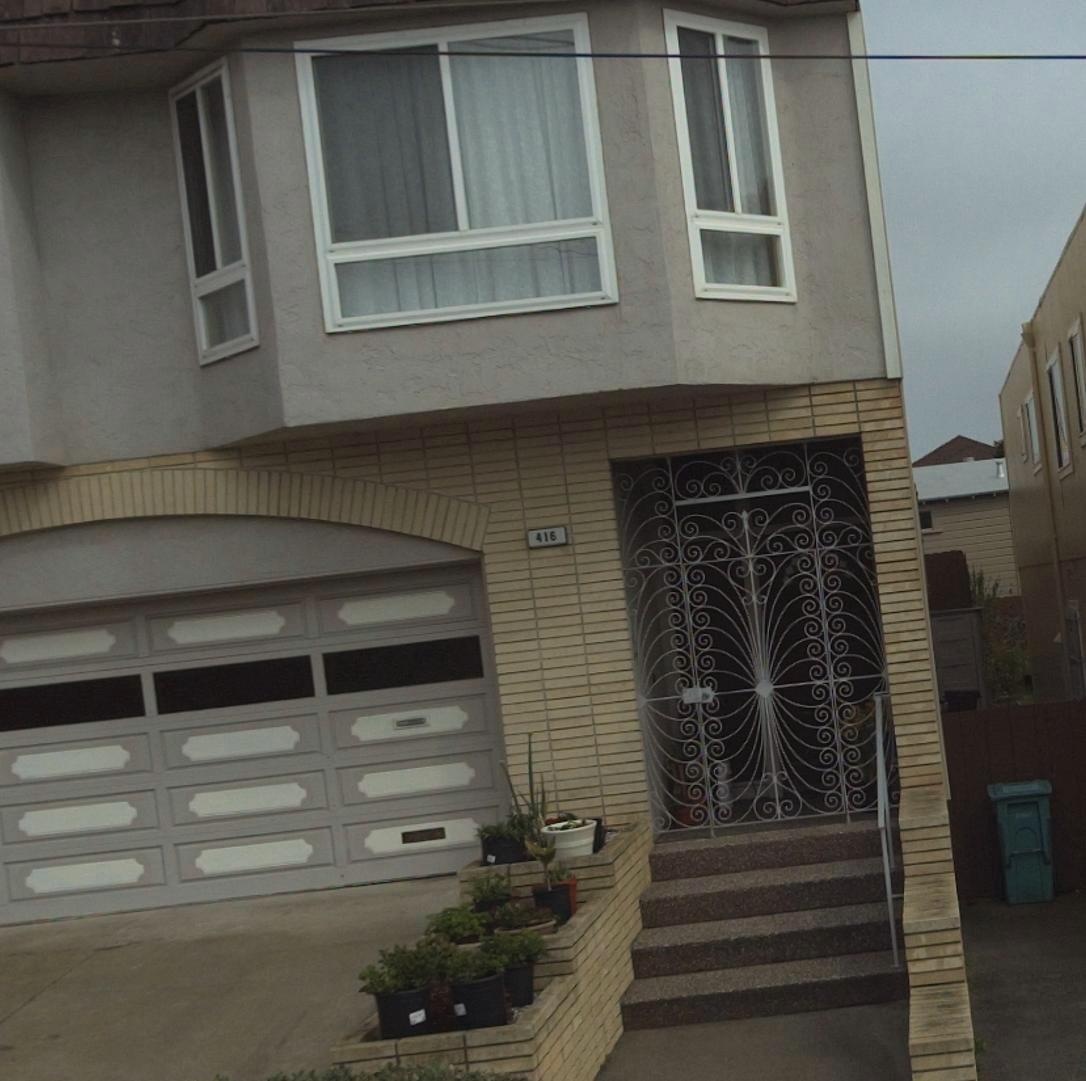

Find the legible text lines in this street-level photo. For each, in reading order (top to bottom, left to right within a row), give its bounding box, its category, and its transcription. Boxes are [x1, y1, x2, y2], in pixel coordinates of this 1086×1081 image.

[535, 529, 558, 544] StreetNumber: 416